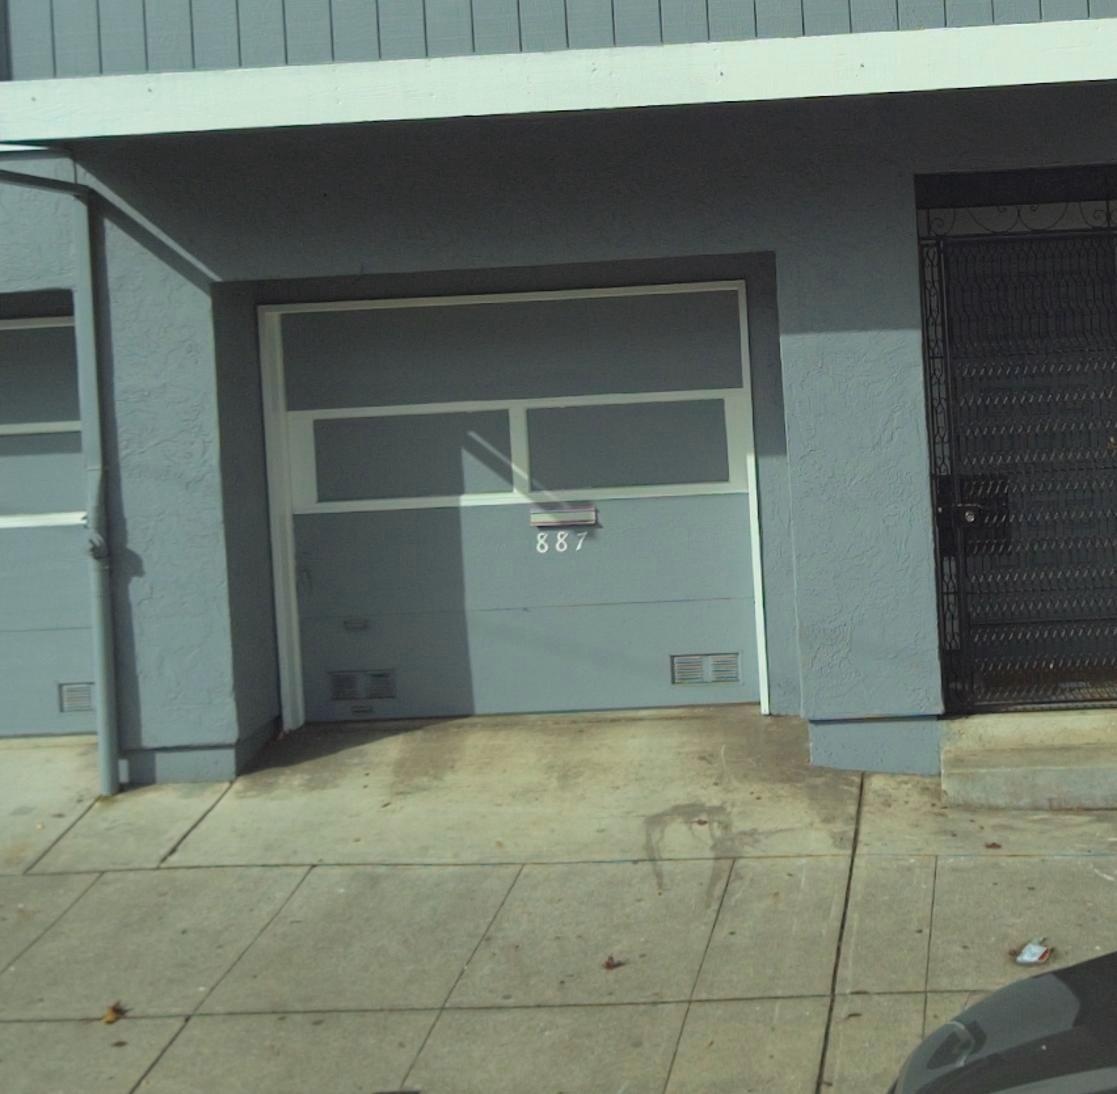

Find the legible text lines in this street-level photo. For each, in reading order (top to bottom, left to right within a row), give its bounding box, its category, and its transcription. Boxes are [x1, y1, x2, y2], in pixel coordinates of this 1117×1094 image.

[534, 528, 593, 556] StreetNumber: 887